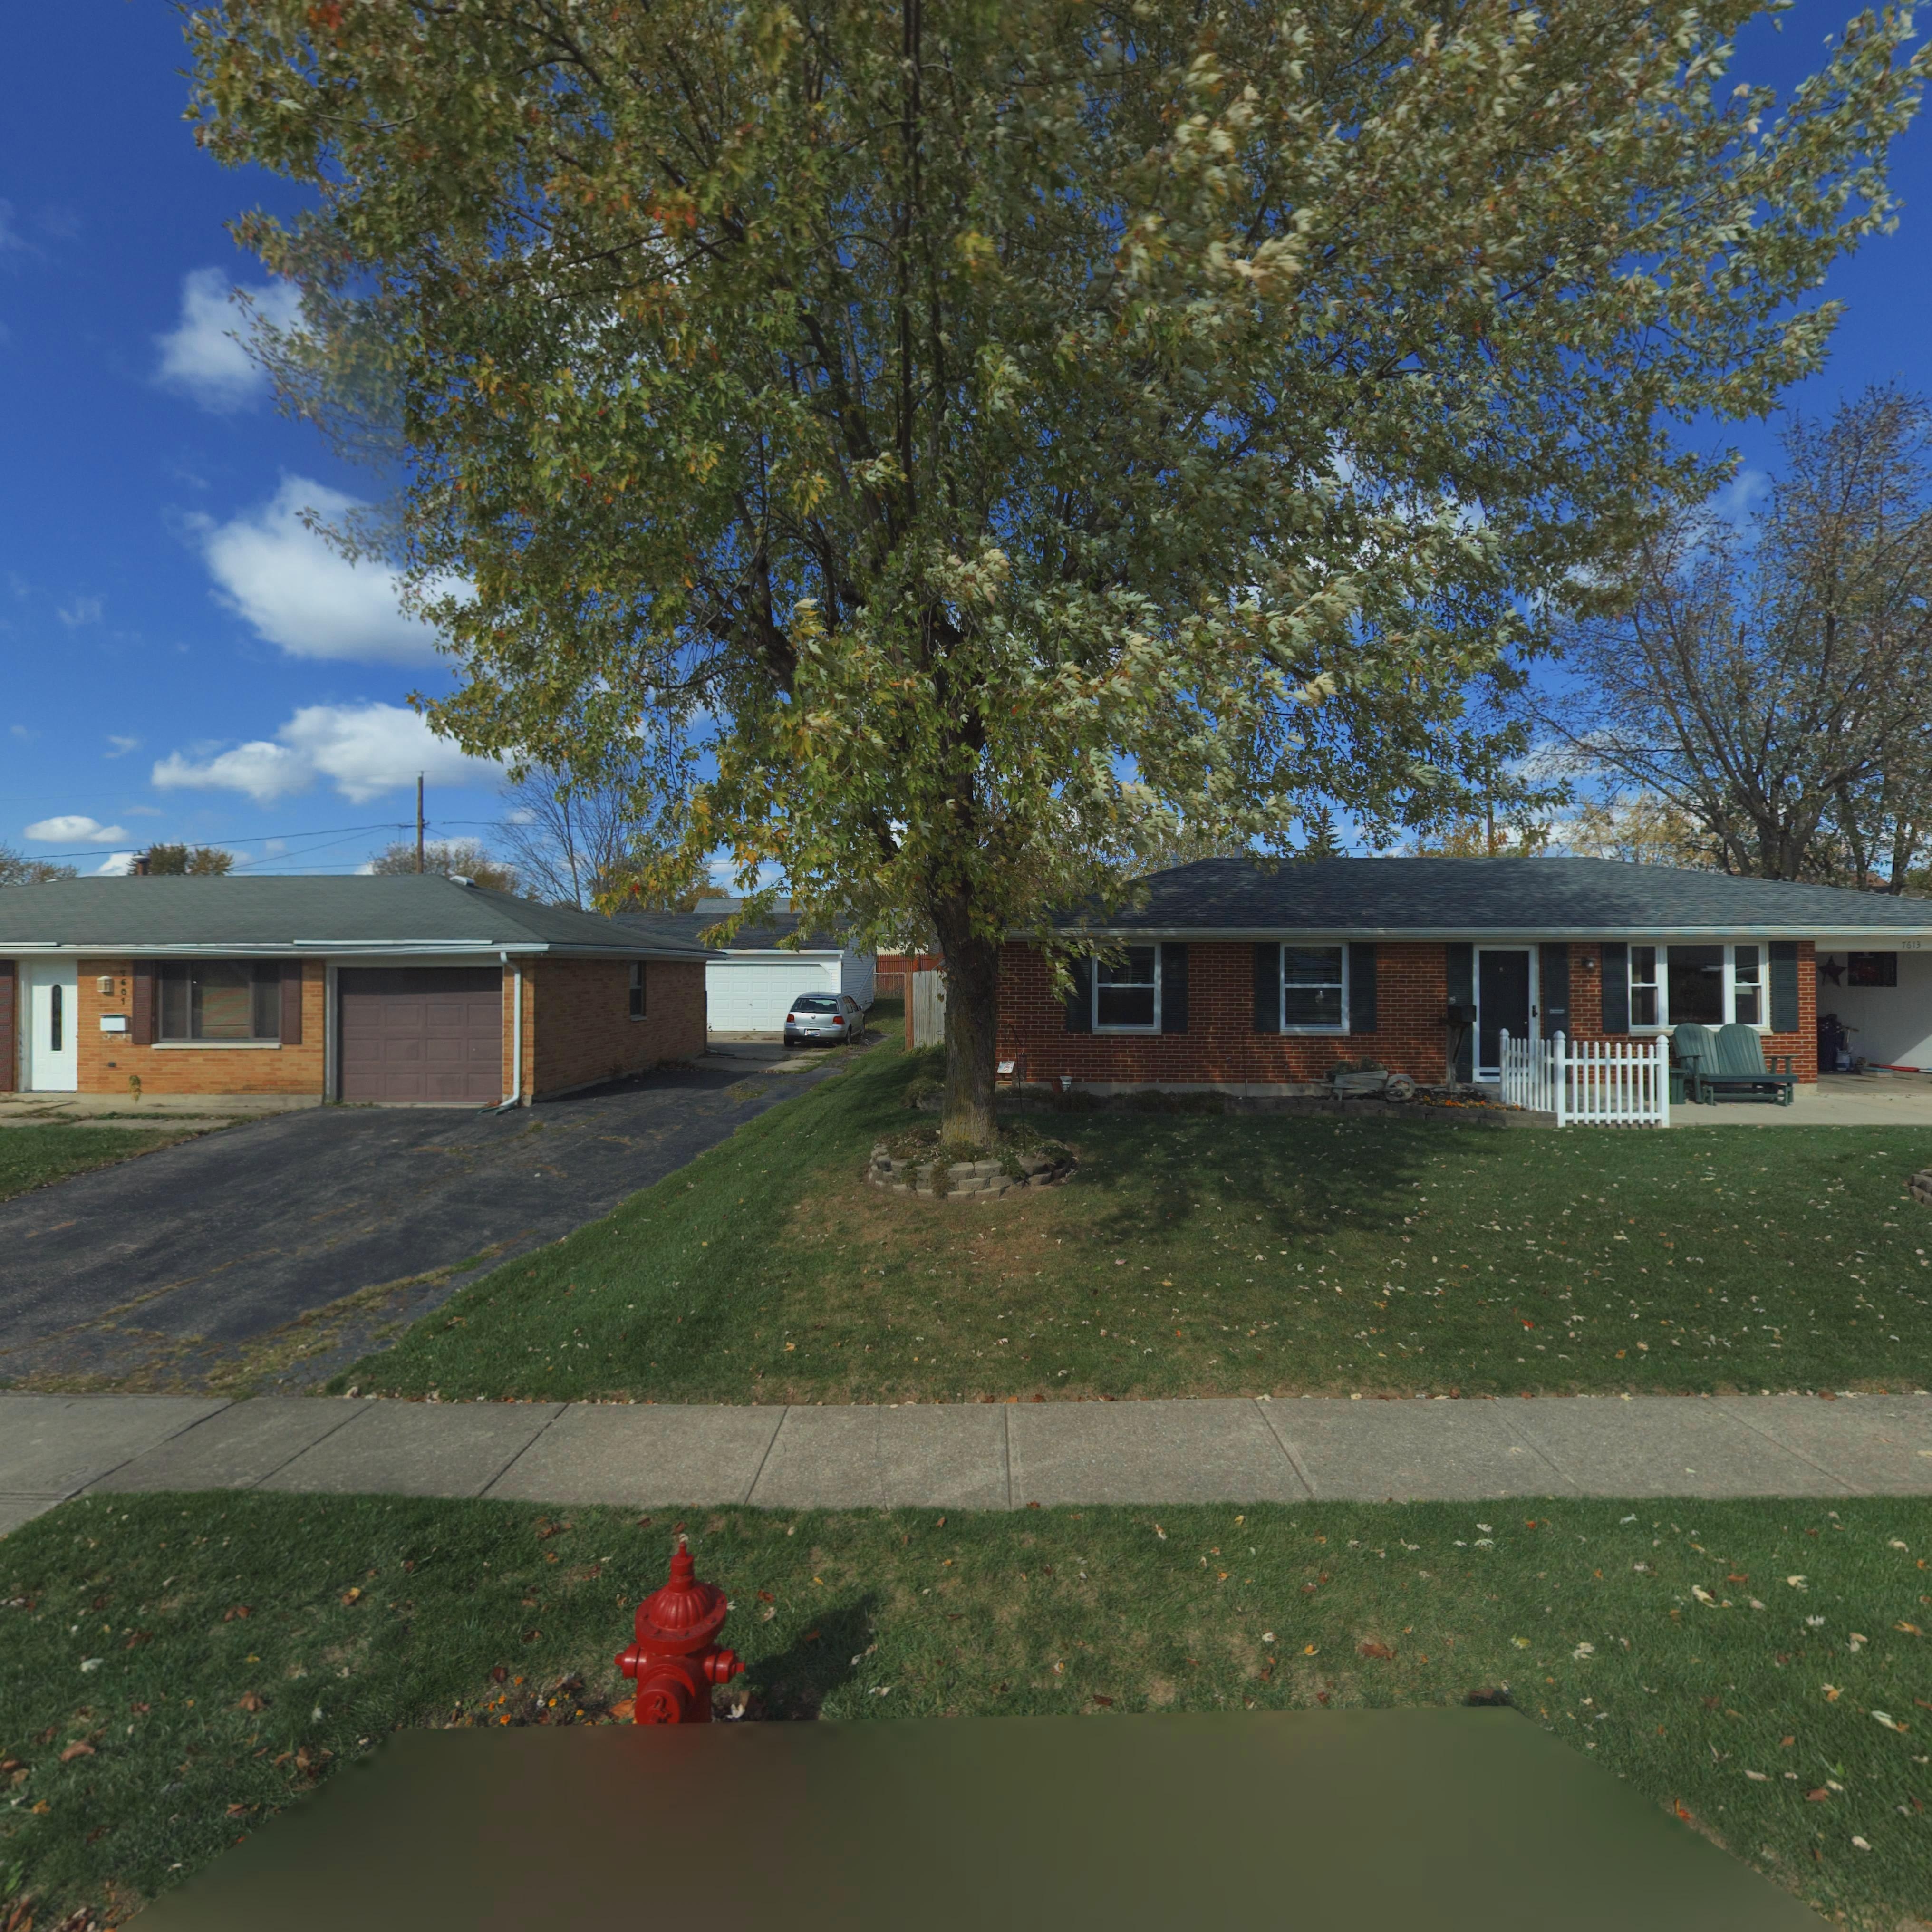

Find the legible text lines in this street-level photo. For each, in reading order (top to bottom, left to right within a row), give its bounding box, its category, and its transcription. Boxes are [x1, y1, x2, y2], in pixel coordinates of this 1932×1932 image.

[1902, 940, 1921, 949] StreetNumber: 7613
[119, 969, 126, 1005] StreetNumber: 7601